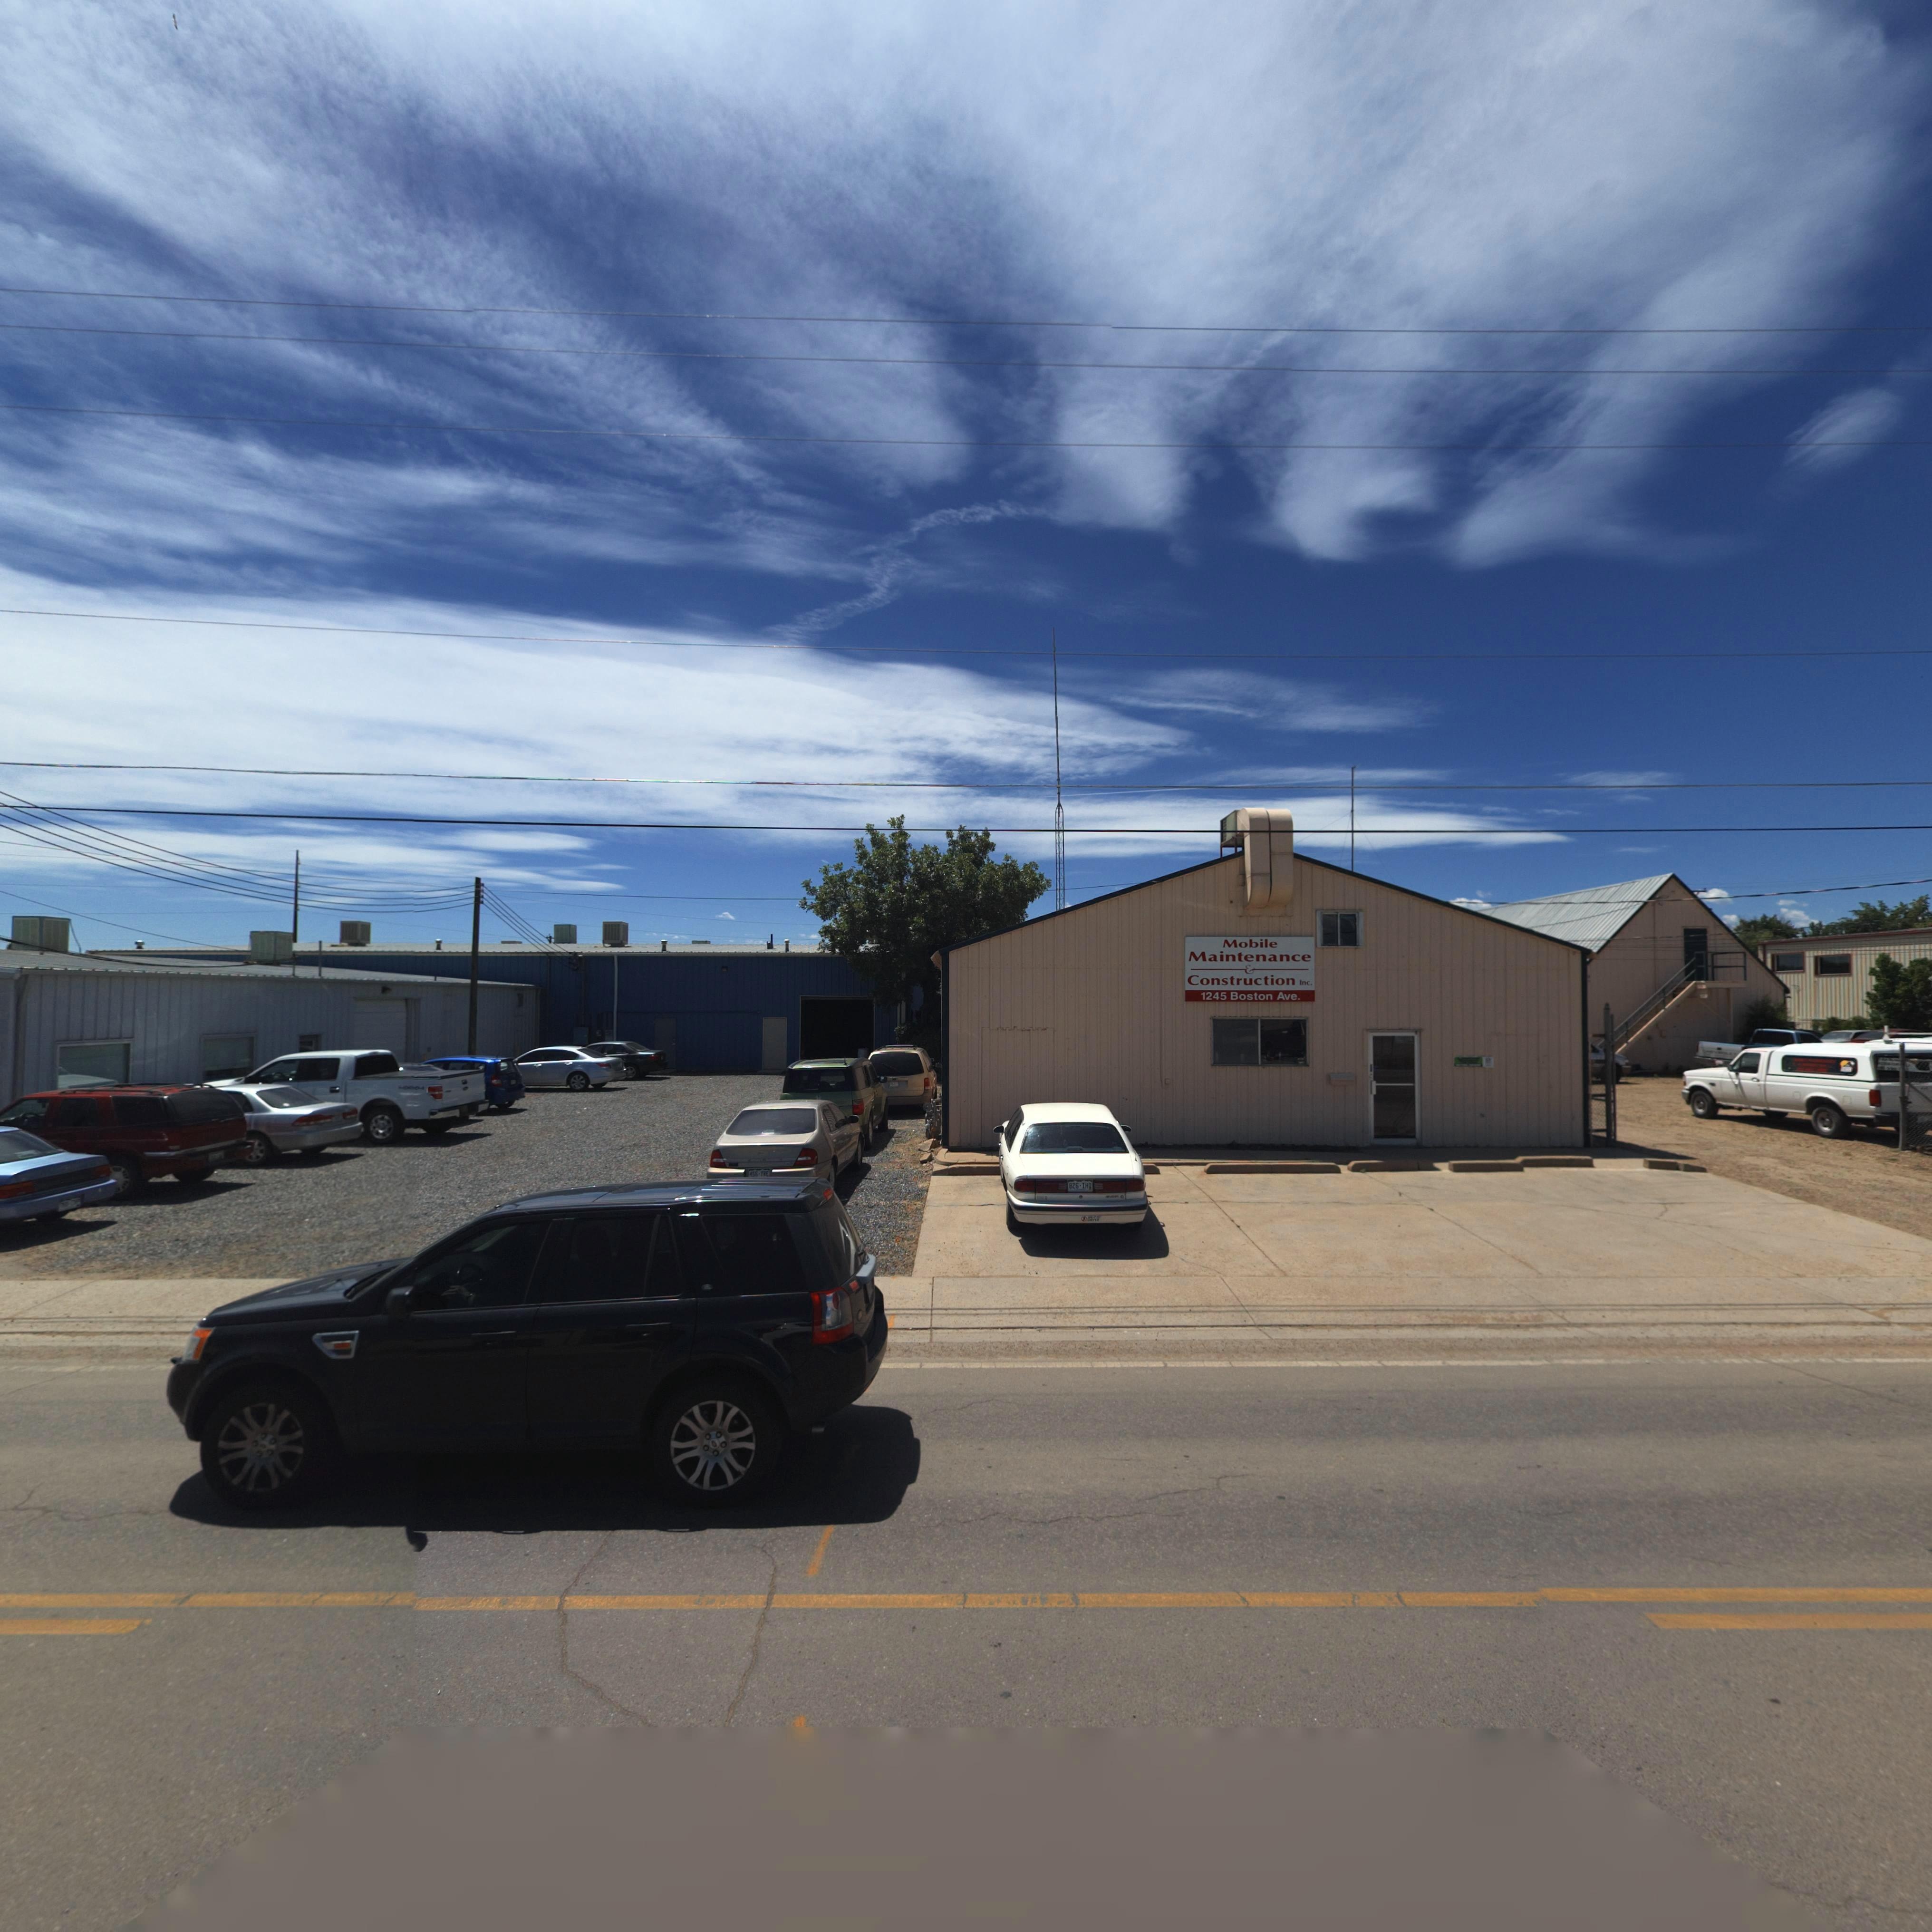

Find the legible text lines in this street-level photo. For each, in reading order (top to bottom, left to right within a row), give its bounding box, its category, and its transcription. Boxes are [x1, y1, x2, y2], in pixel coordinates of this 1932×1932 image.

[1222, 938, 1278, 948] BusinessName: Mobile
[1187, 950, 1312, 962] BusinessName: Maintenance
[1187, 974, 1295, 985] BusinessName: Construction
[1299, 979, 1313, 985] BusinessName: Inc.
[1200, 991, 1227, 1001] StreetNumber: 1245
[1230, 991, 1301, 1001] BusinessName: Boston Ave*